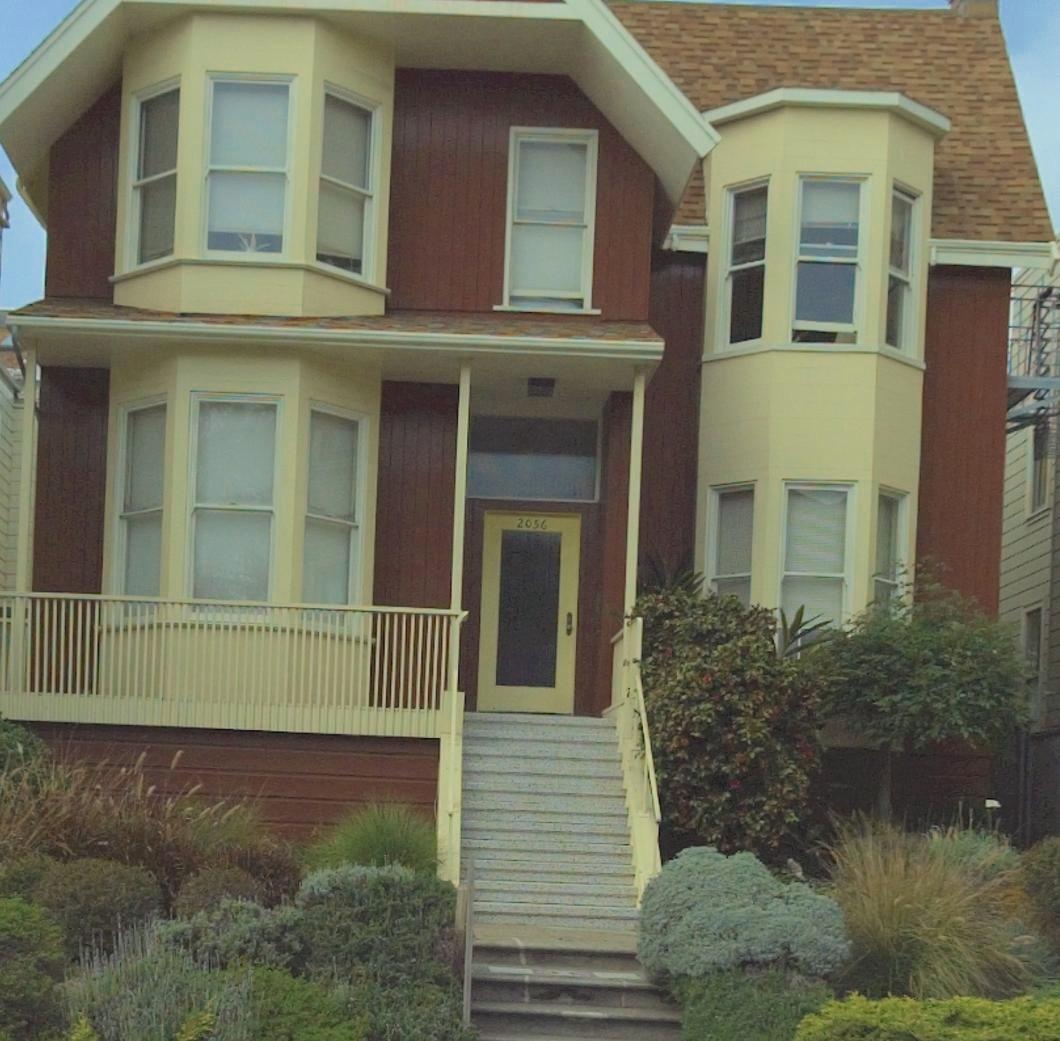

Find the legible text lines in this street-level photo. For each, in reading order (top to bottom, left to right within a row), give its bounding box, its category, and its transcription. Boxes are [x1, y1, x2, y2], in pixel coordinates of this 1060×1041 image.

[514, 516, 549, 532] StreetNumber: 2056